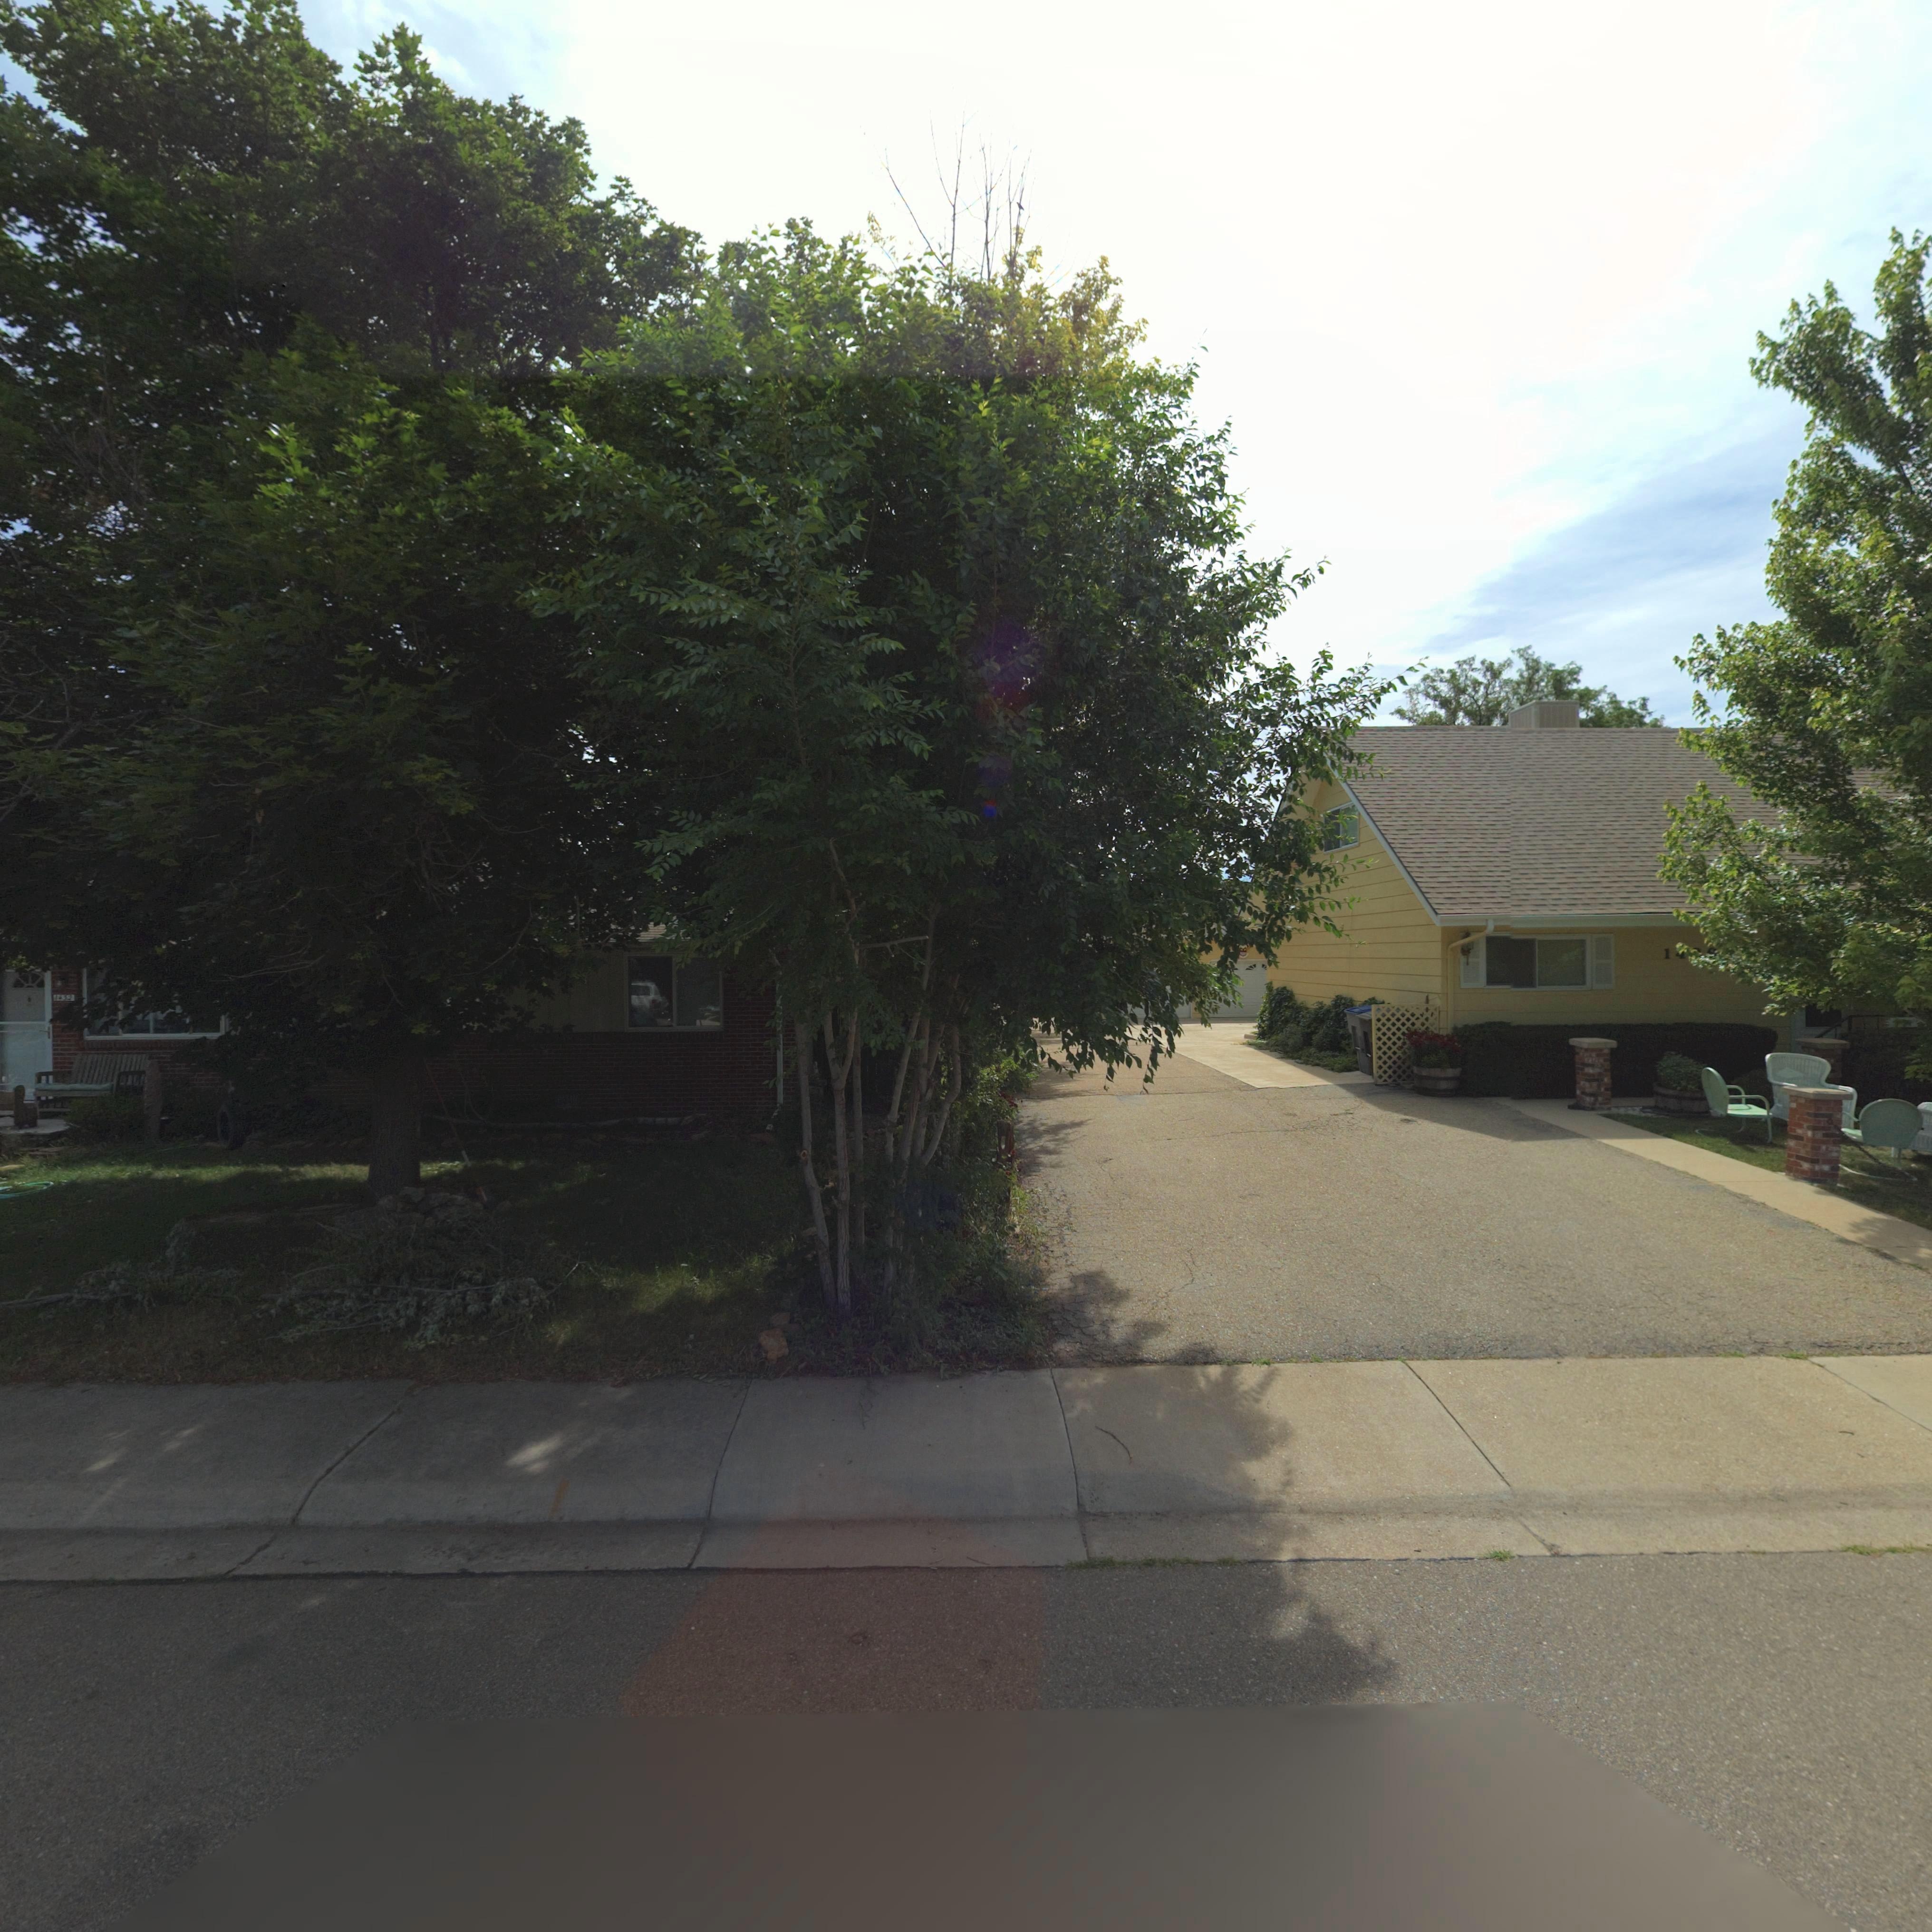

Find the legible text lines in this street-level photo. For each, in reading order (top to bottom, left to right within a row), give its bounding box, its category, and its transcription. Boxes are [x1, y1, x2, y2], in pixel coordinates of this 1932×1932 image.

[1663, 947, 1717, 960] StreetNumber: 1***
[55, 995, 72, 1000] StreetNumber: 1432